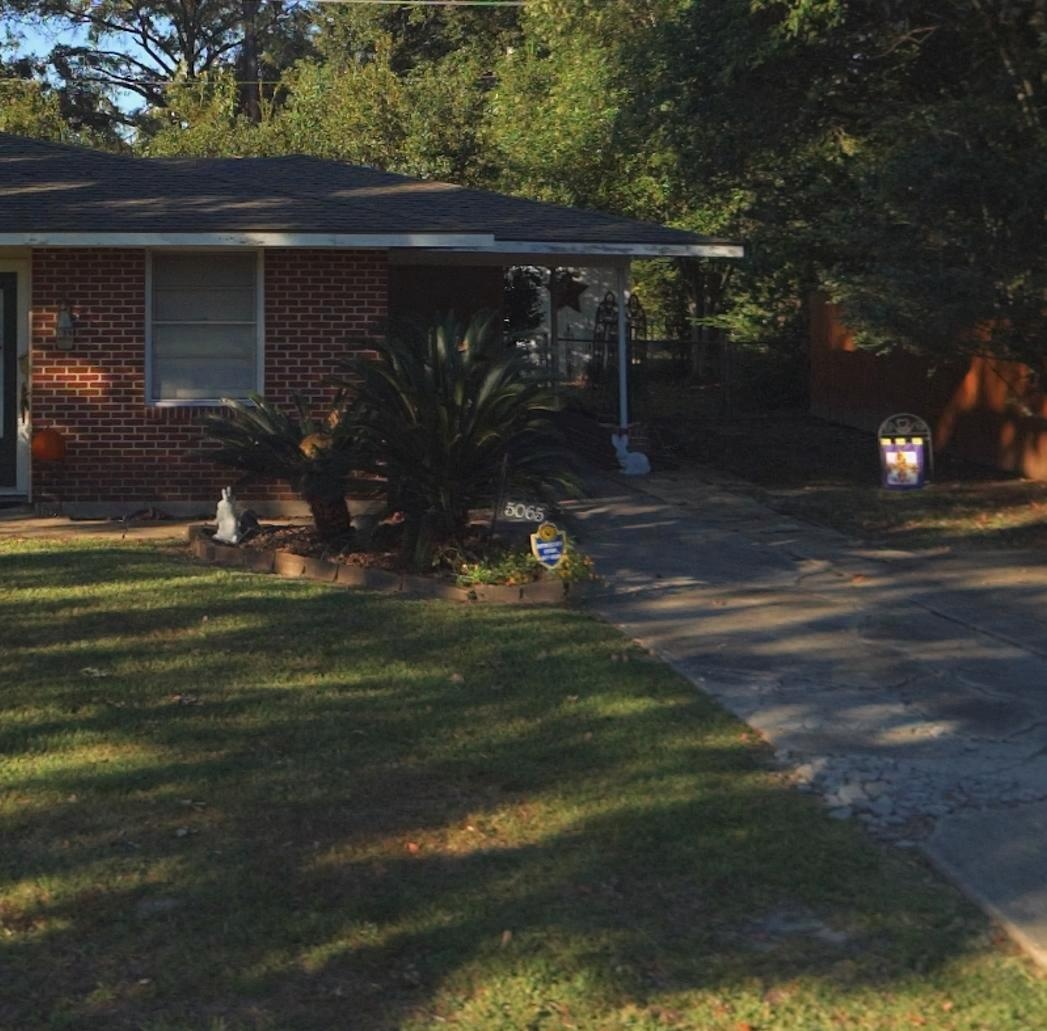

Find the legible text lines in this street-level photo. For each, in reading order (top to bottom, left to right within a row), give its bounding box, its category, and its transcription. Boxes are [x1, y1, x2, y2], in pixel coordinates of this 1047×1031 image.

[502, 500, 546, 523] StreetNumber: 5065